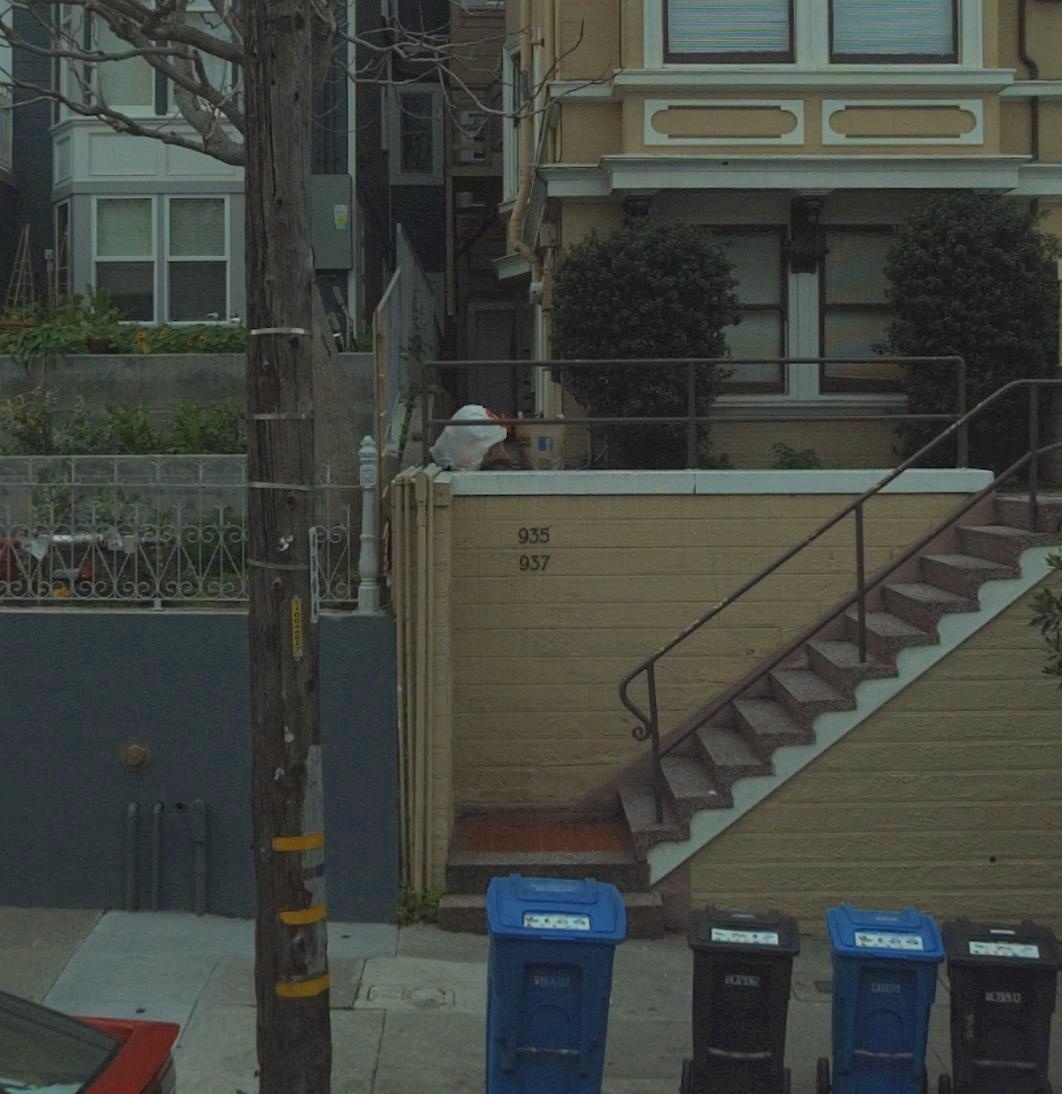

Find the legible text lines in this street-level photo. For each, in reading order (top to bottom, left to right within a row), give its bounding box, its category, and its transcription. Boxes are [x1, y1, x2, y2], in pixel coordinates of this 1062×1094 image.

[517, 526, 551, 545] StreetNumber: 935
[518, 553, 550, 572] StreetNumber: 937
[292, 599, 300, 651] None: 110040*67